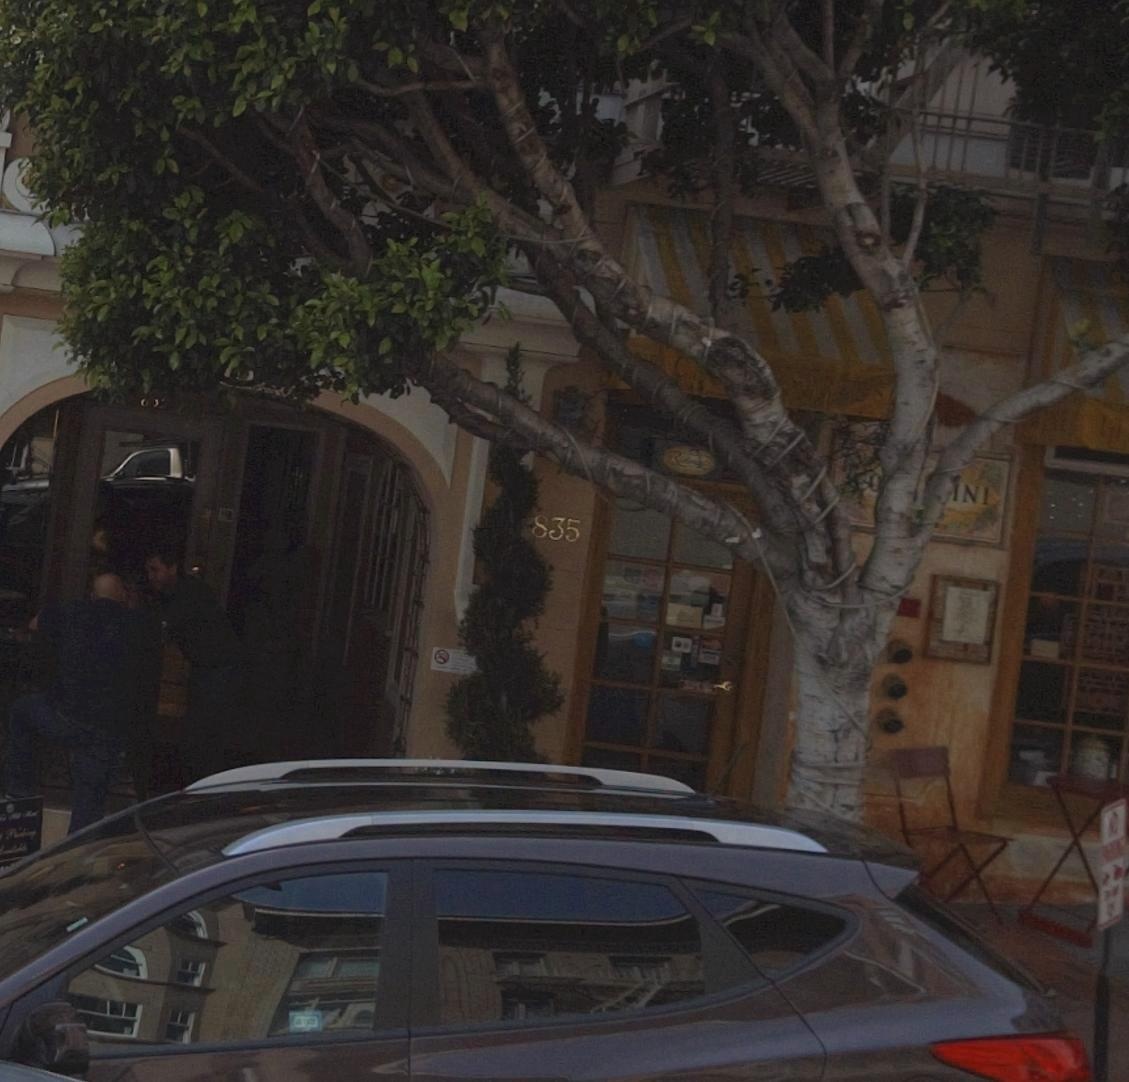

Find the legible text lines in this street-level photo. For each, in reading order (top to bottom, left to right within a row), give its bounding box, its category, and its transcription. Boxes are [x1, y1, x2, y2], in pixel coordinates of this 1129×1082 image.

[960, 482, 992, 509] None: NI
[529, 511, 584, 546] StreetNumber: 835